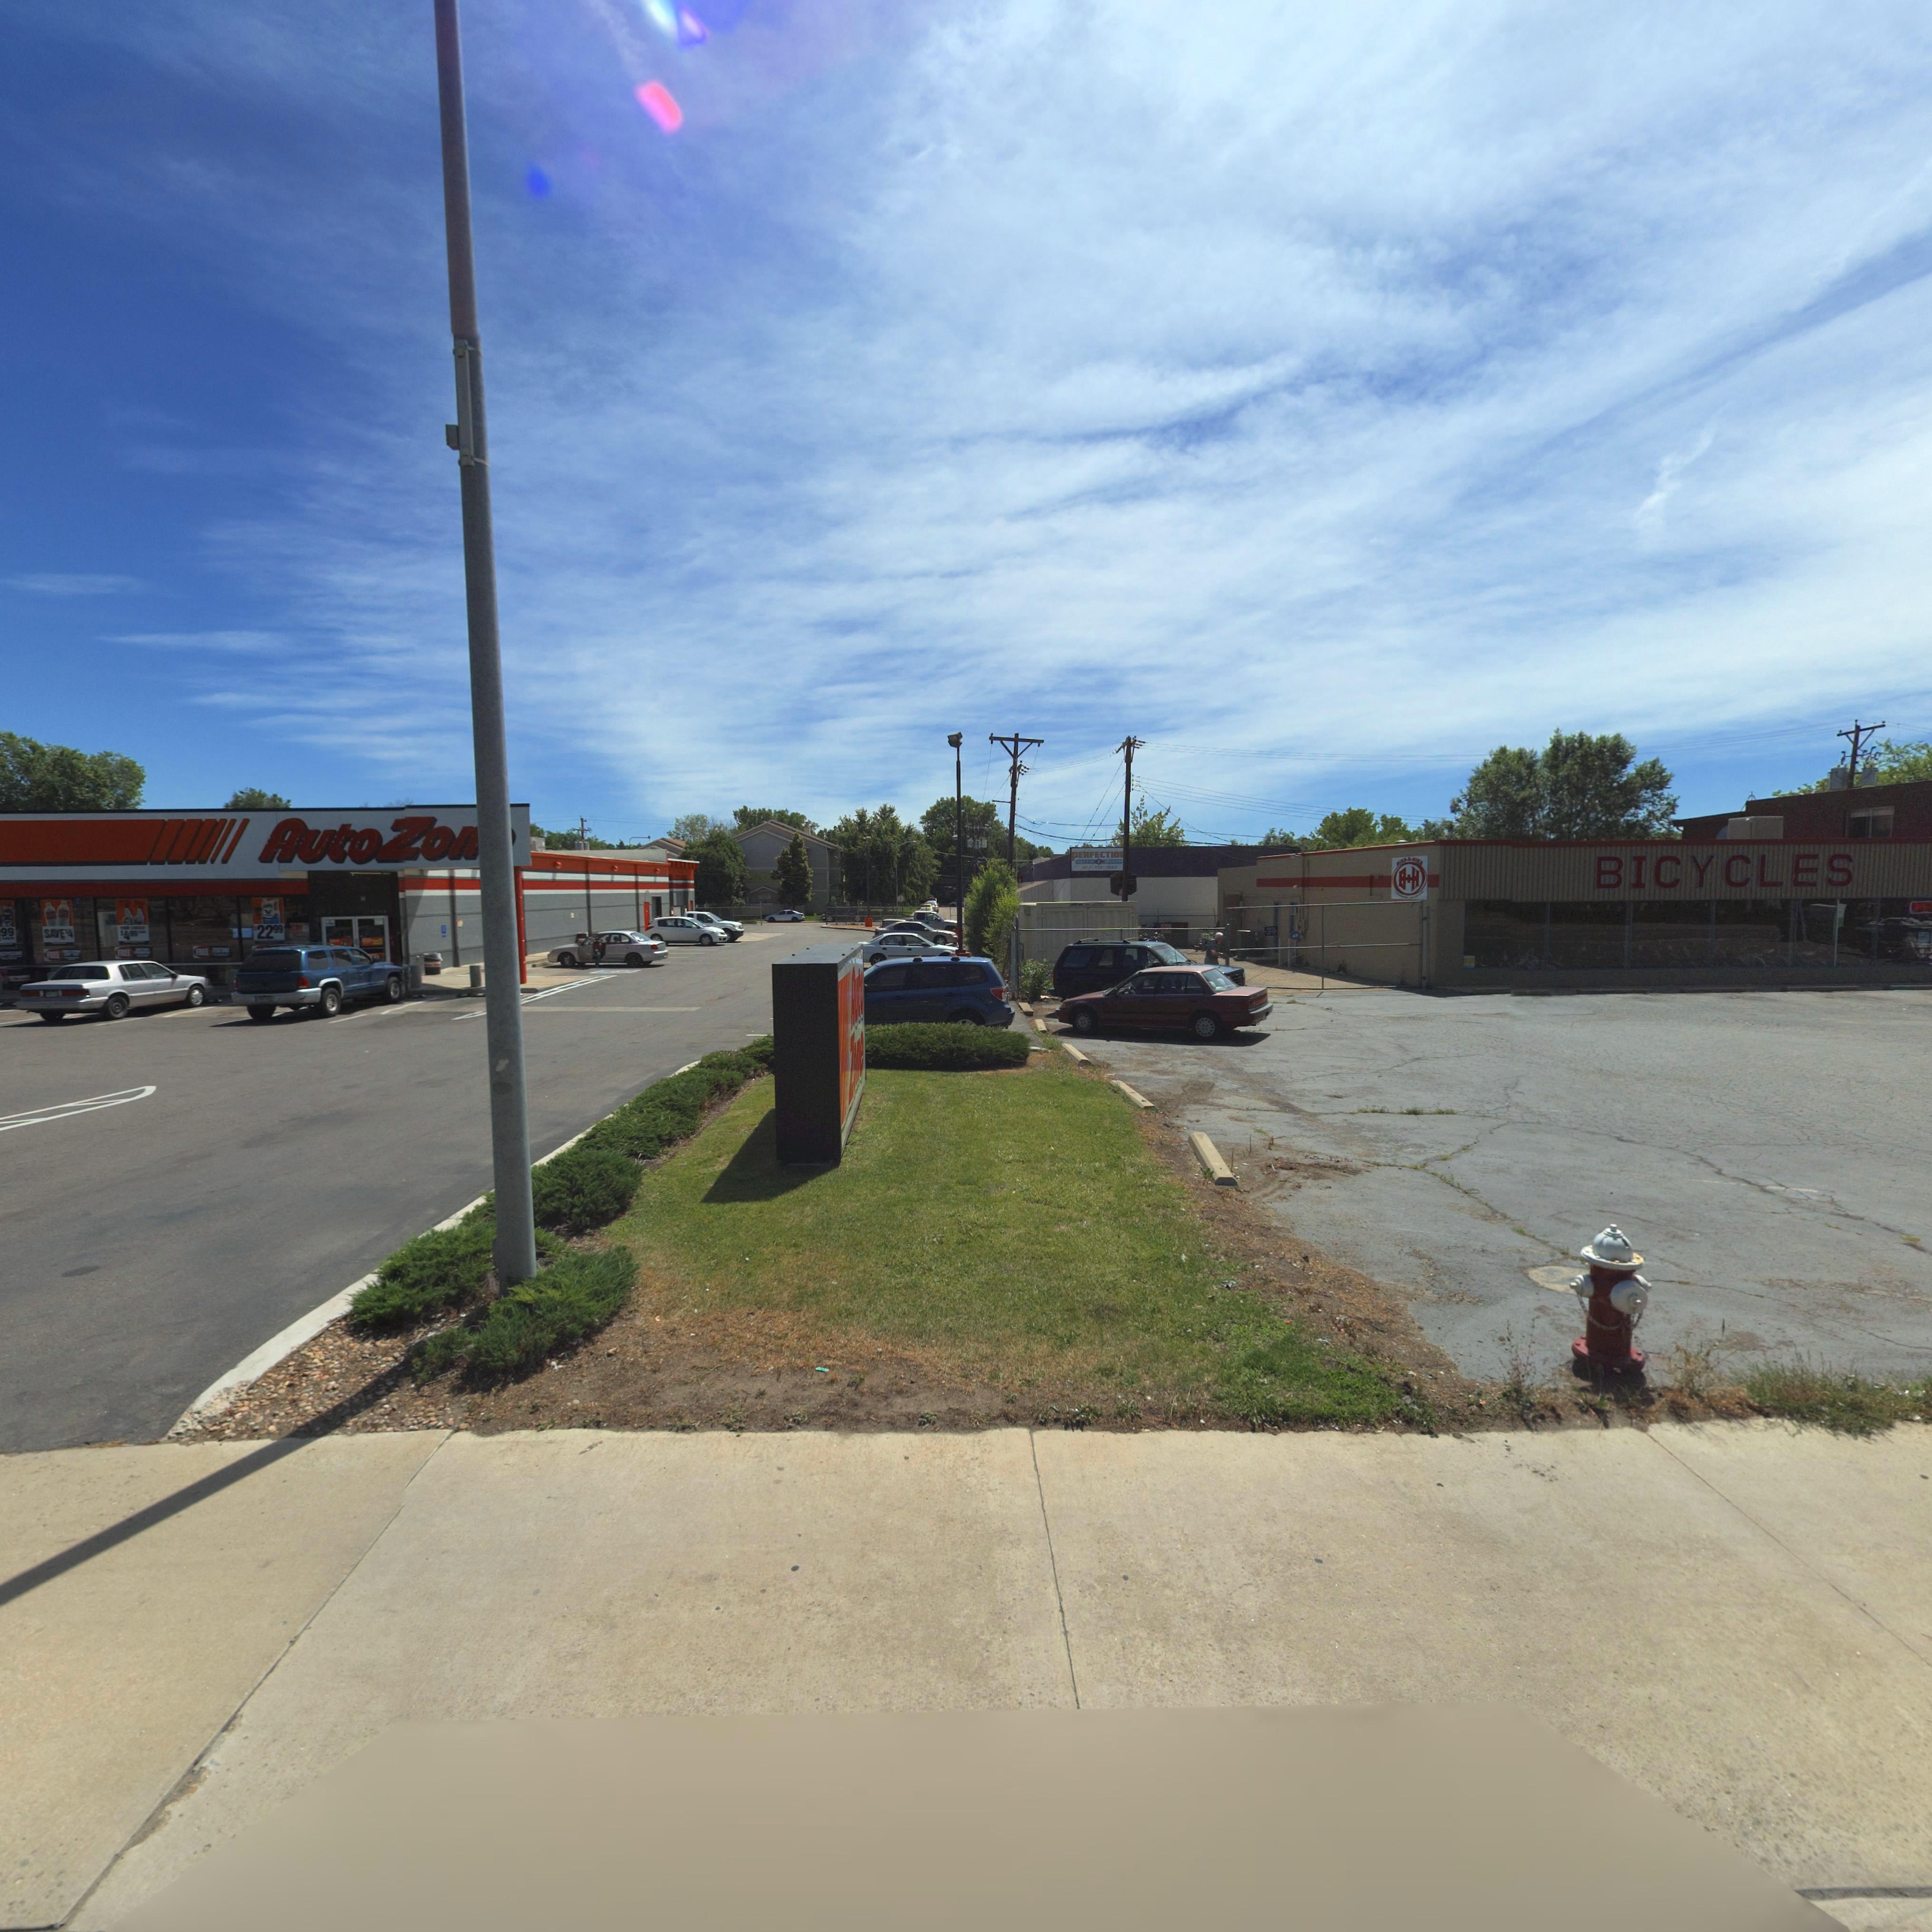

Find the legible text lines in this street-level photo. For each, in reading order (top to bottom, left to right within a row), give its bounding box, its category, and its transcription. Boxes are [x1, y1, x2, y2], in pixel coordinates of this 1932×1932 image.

[257, 815, 479, 864] BusinessName: AutoZo*
[1071, 850, 1123, 861] BusinessName: PERFECTIO*
[1398, 866, 1420, 891] BusinessName: B*H
[850, 965, 864, 1032] BusinessName: A***
[848, 1030, 864, 1107] BusinessName: Z**e